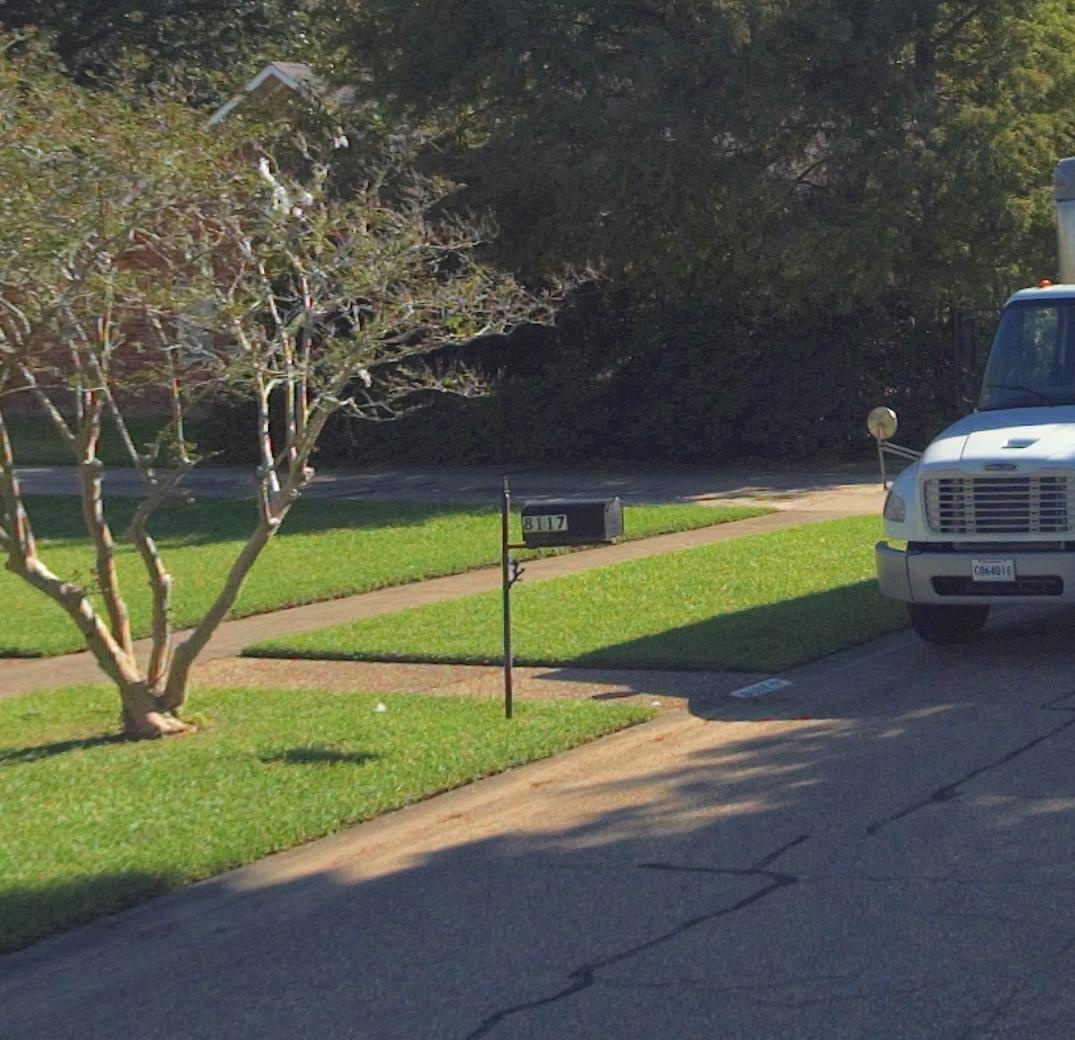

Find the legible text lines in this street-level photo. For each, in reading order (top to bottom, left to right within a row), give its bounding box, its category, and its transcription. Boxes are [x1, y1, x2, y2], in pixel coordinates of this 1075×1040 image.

[523, 515, 566, 532] StreetNumber: 8117
[973, 564, 1012, 577] None: C0*4016